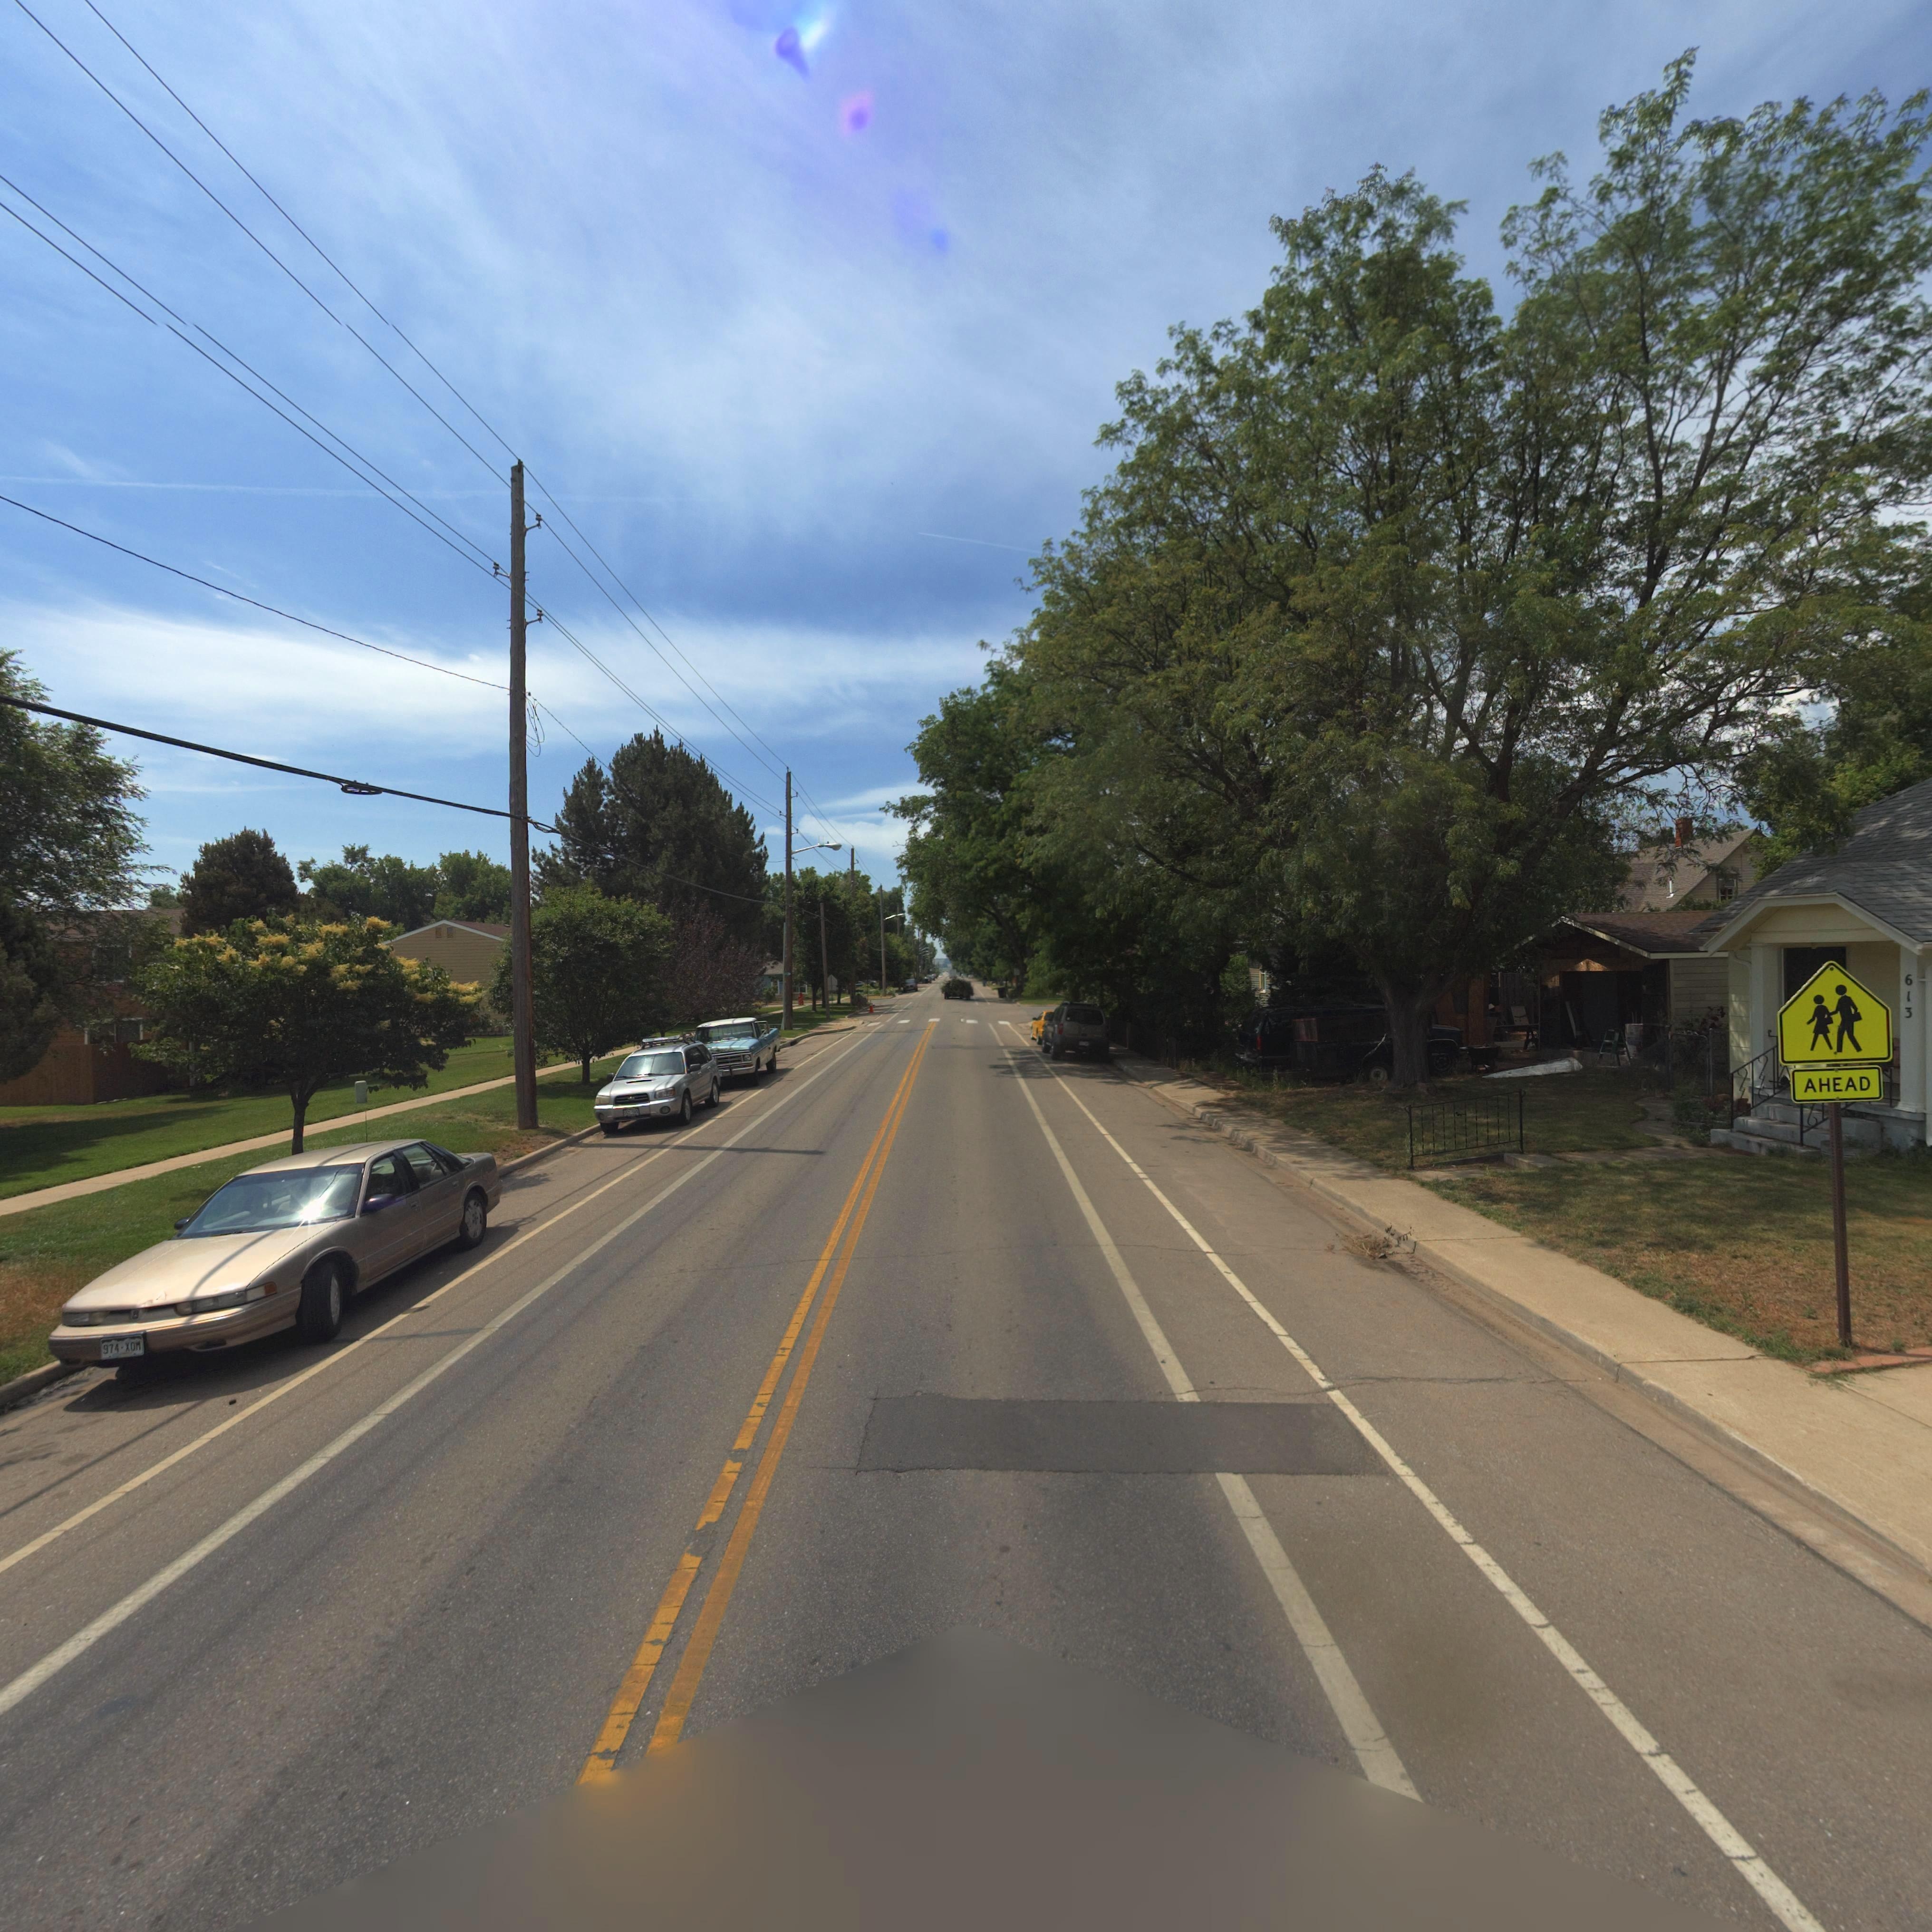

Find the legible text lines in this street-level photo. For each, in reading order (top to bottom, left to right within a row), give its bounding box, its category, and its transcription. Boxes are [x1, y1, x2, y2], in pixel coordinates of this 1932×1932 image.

[1904, 974, 1913, 1019] StreetNumber: 613